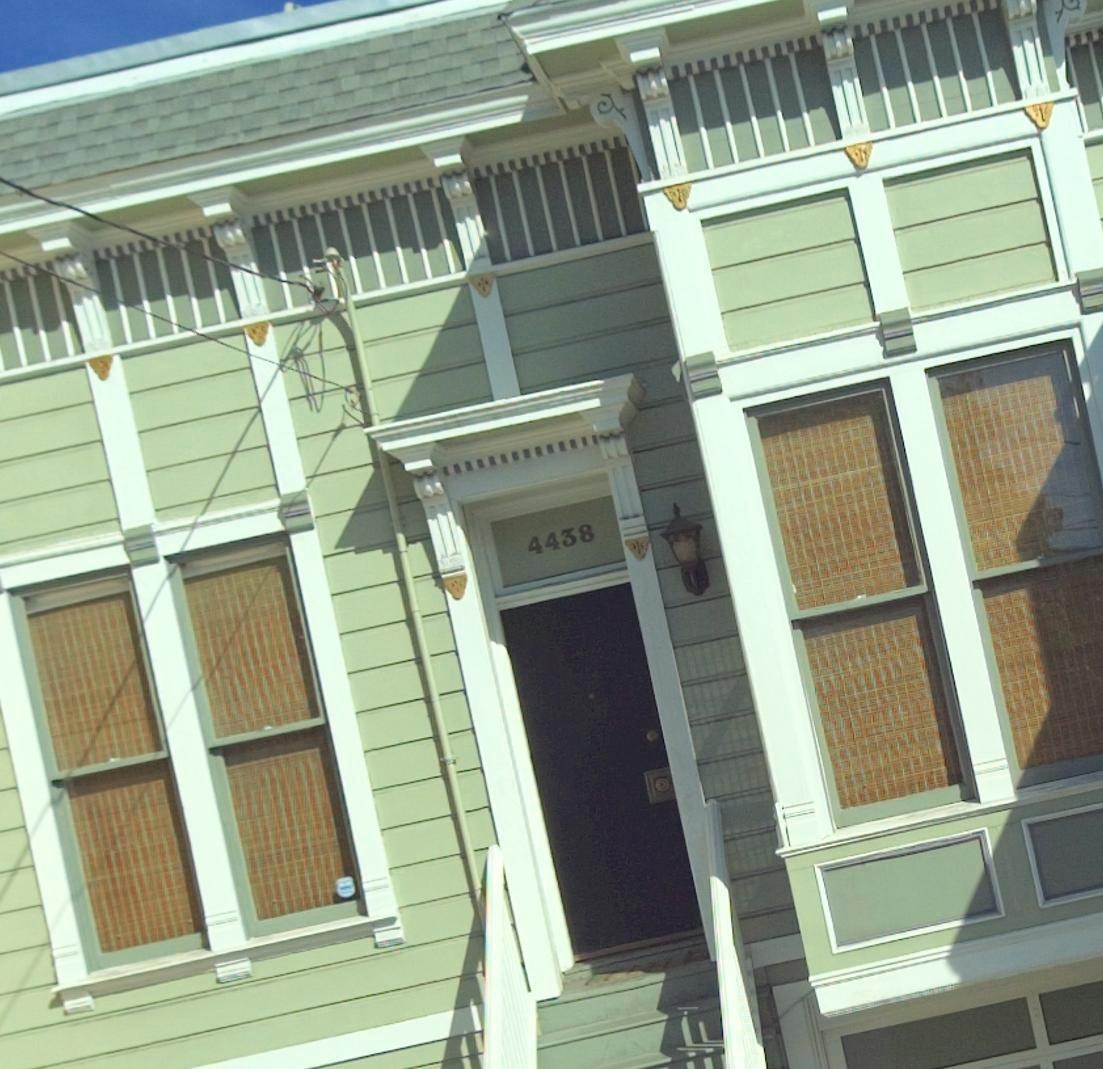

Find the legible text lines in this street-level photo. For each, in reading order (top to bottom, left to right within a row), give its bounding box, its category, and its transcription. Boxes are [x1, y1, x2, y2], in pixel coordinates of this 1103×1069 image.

[524, 520, 598, 558] StreetNumber: 4438